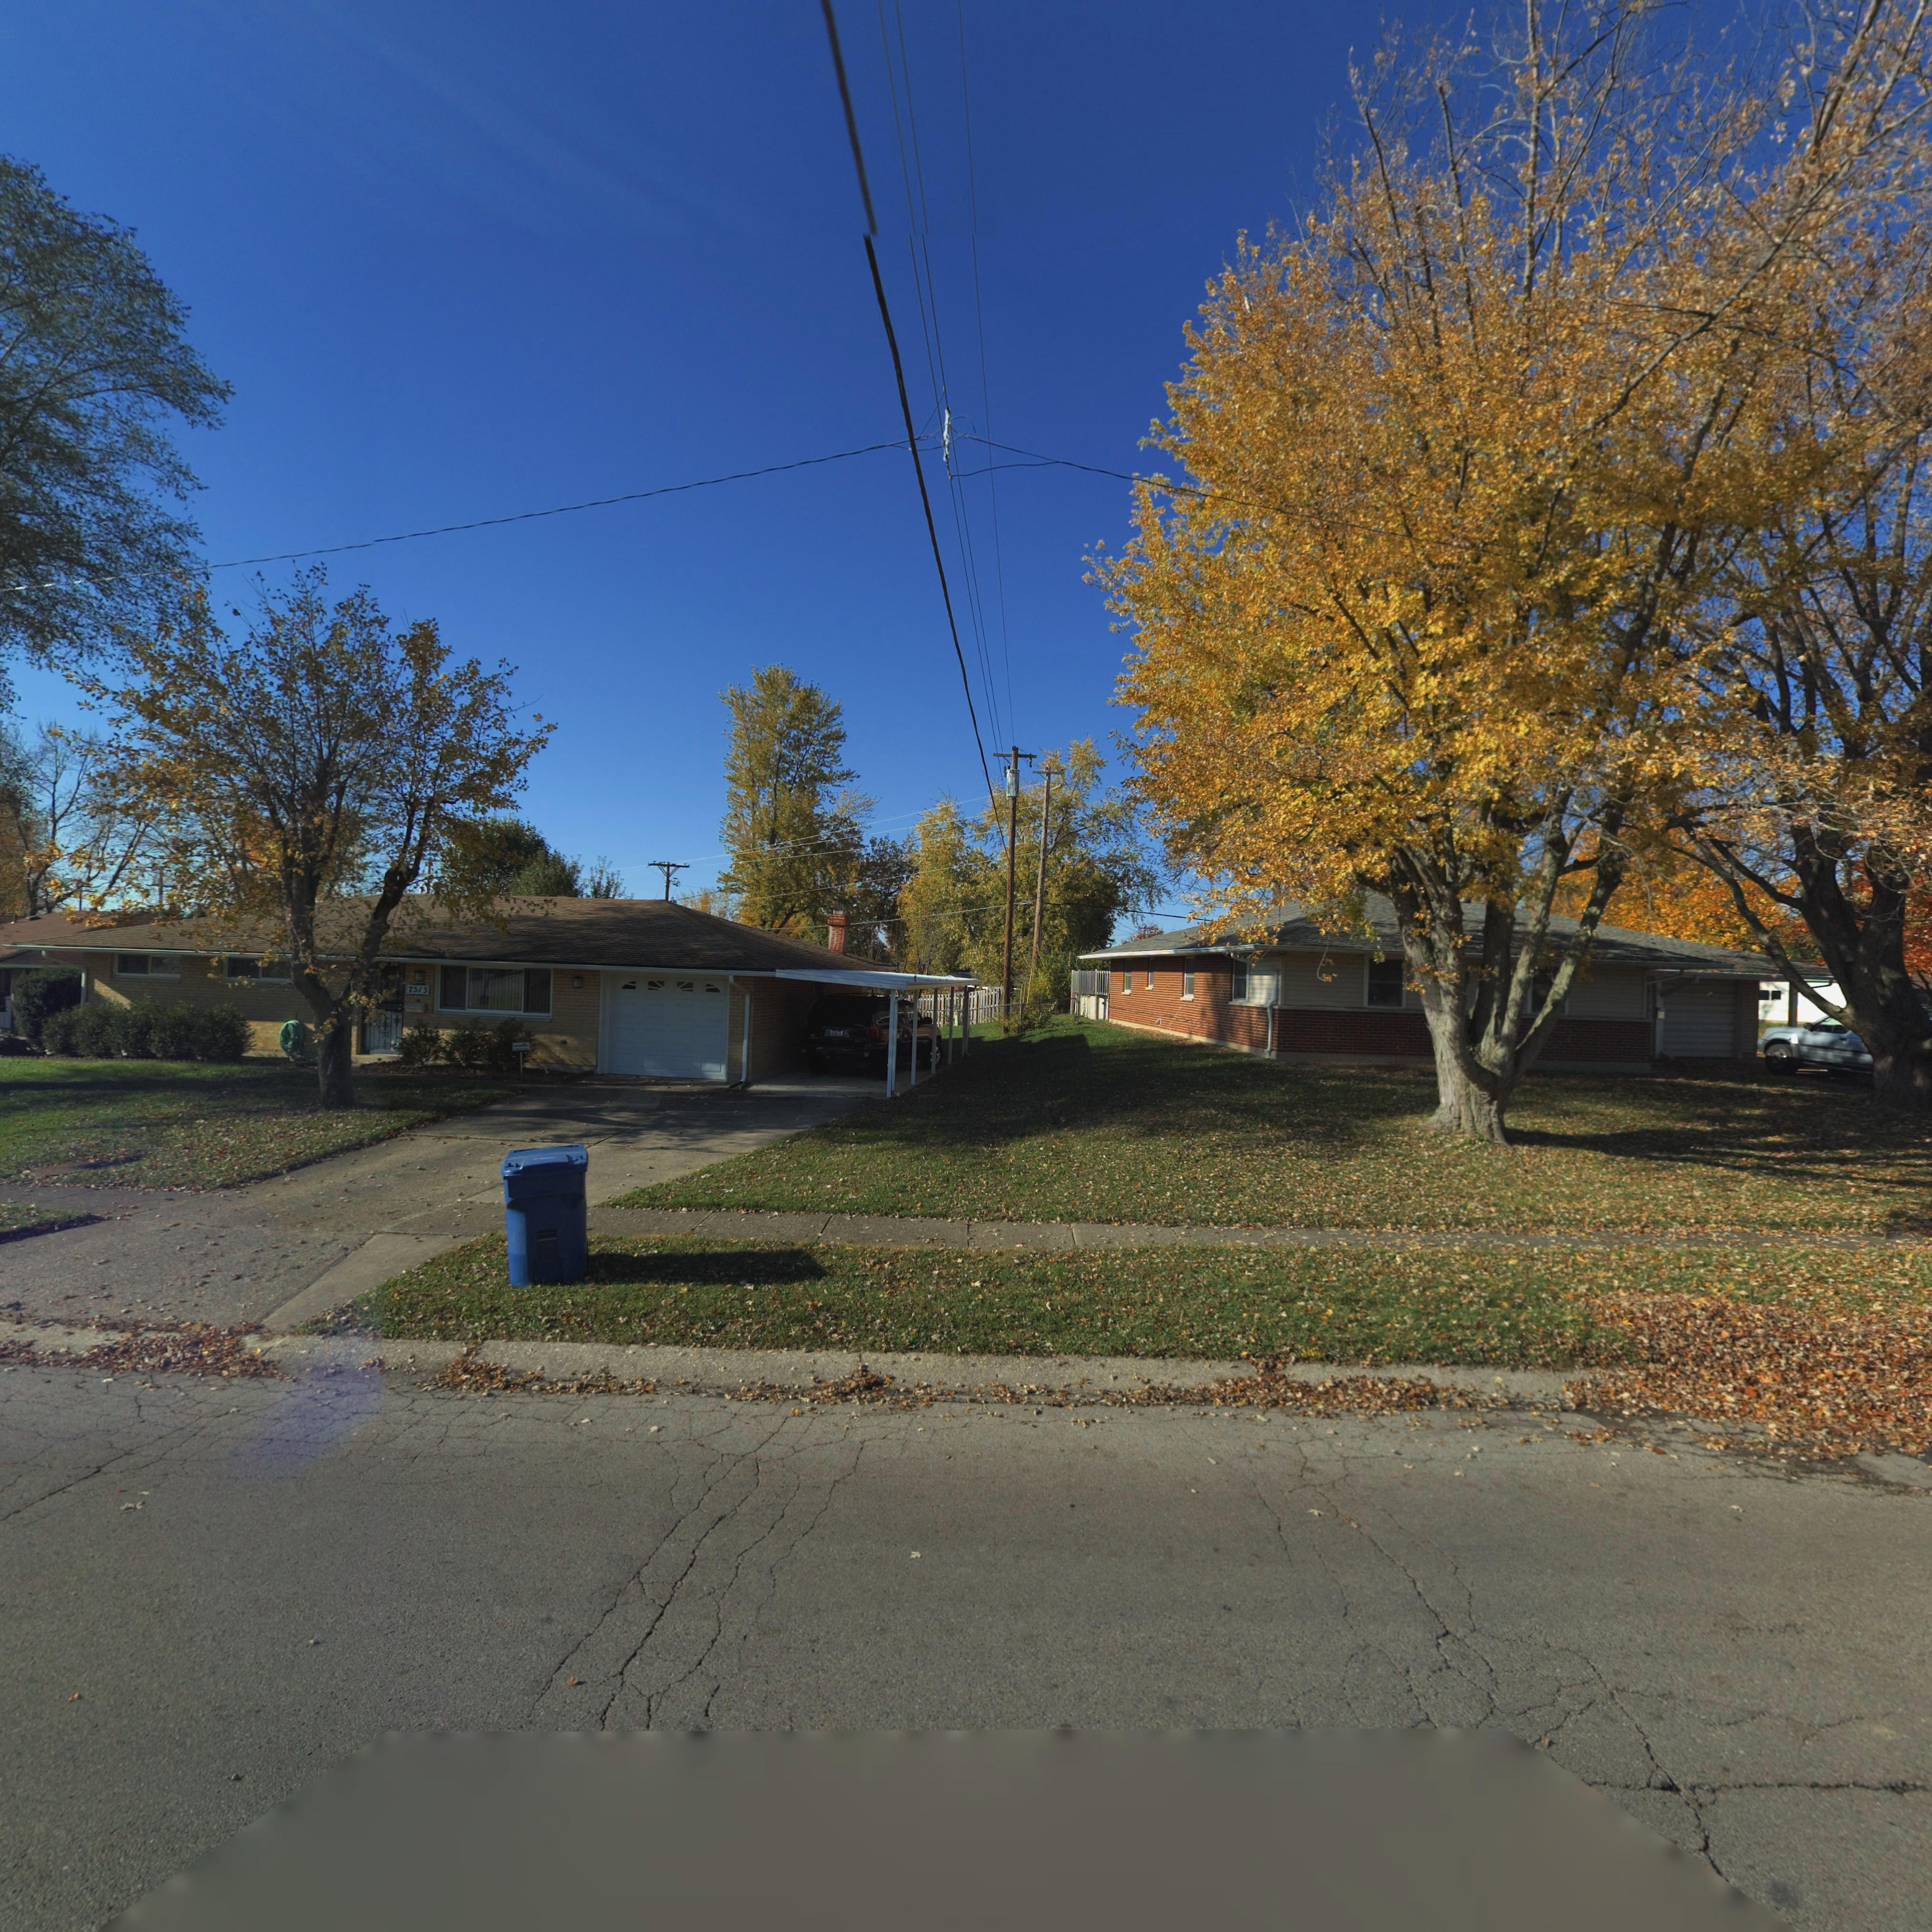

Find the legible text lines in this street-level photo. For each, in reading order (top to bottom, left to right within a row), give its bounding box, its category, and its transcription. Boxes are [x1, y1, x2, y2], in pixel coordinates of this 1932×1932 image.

[408, 985, 428, 995] StreetNumber: 7513